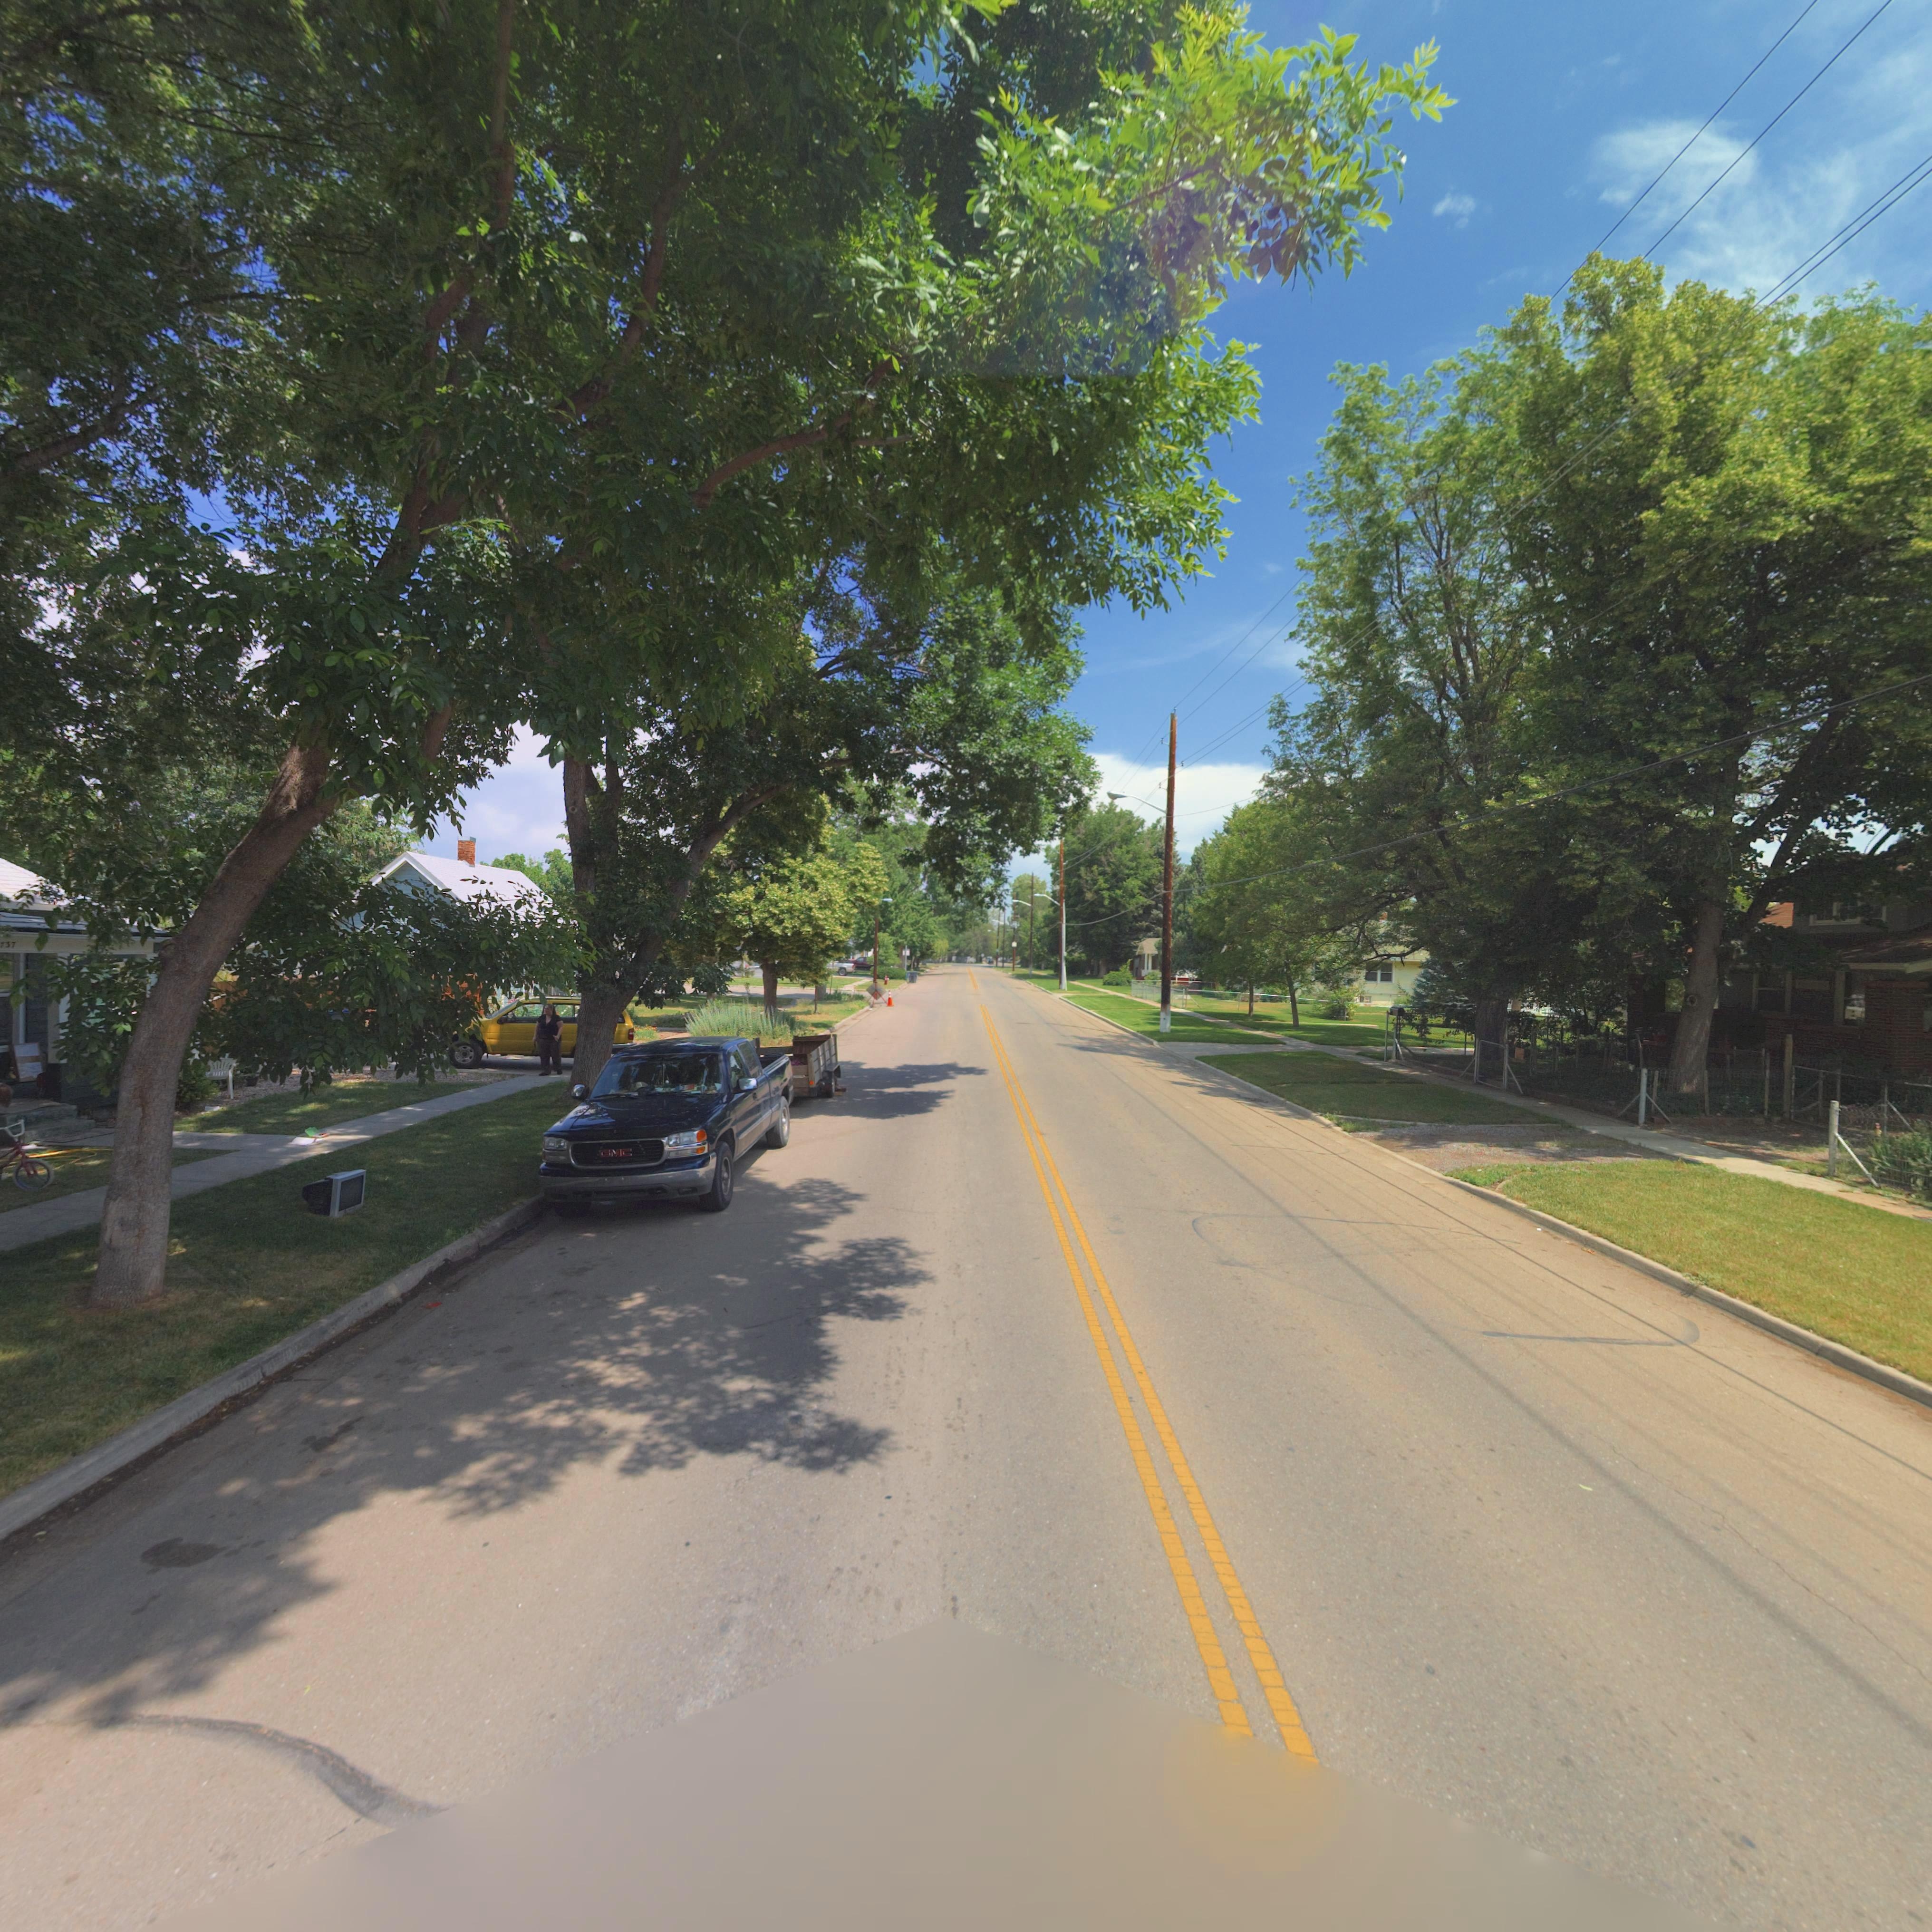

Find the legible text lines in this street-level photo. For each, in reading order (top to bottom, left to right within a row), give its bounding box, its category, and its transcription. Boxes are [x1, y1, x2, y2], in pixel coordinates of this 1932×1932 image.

[0, 941, 16, 948] StreetNumber: 737